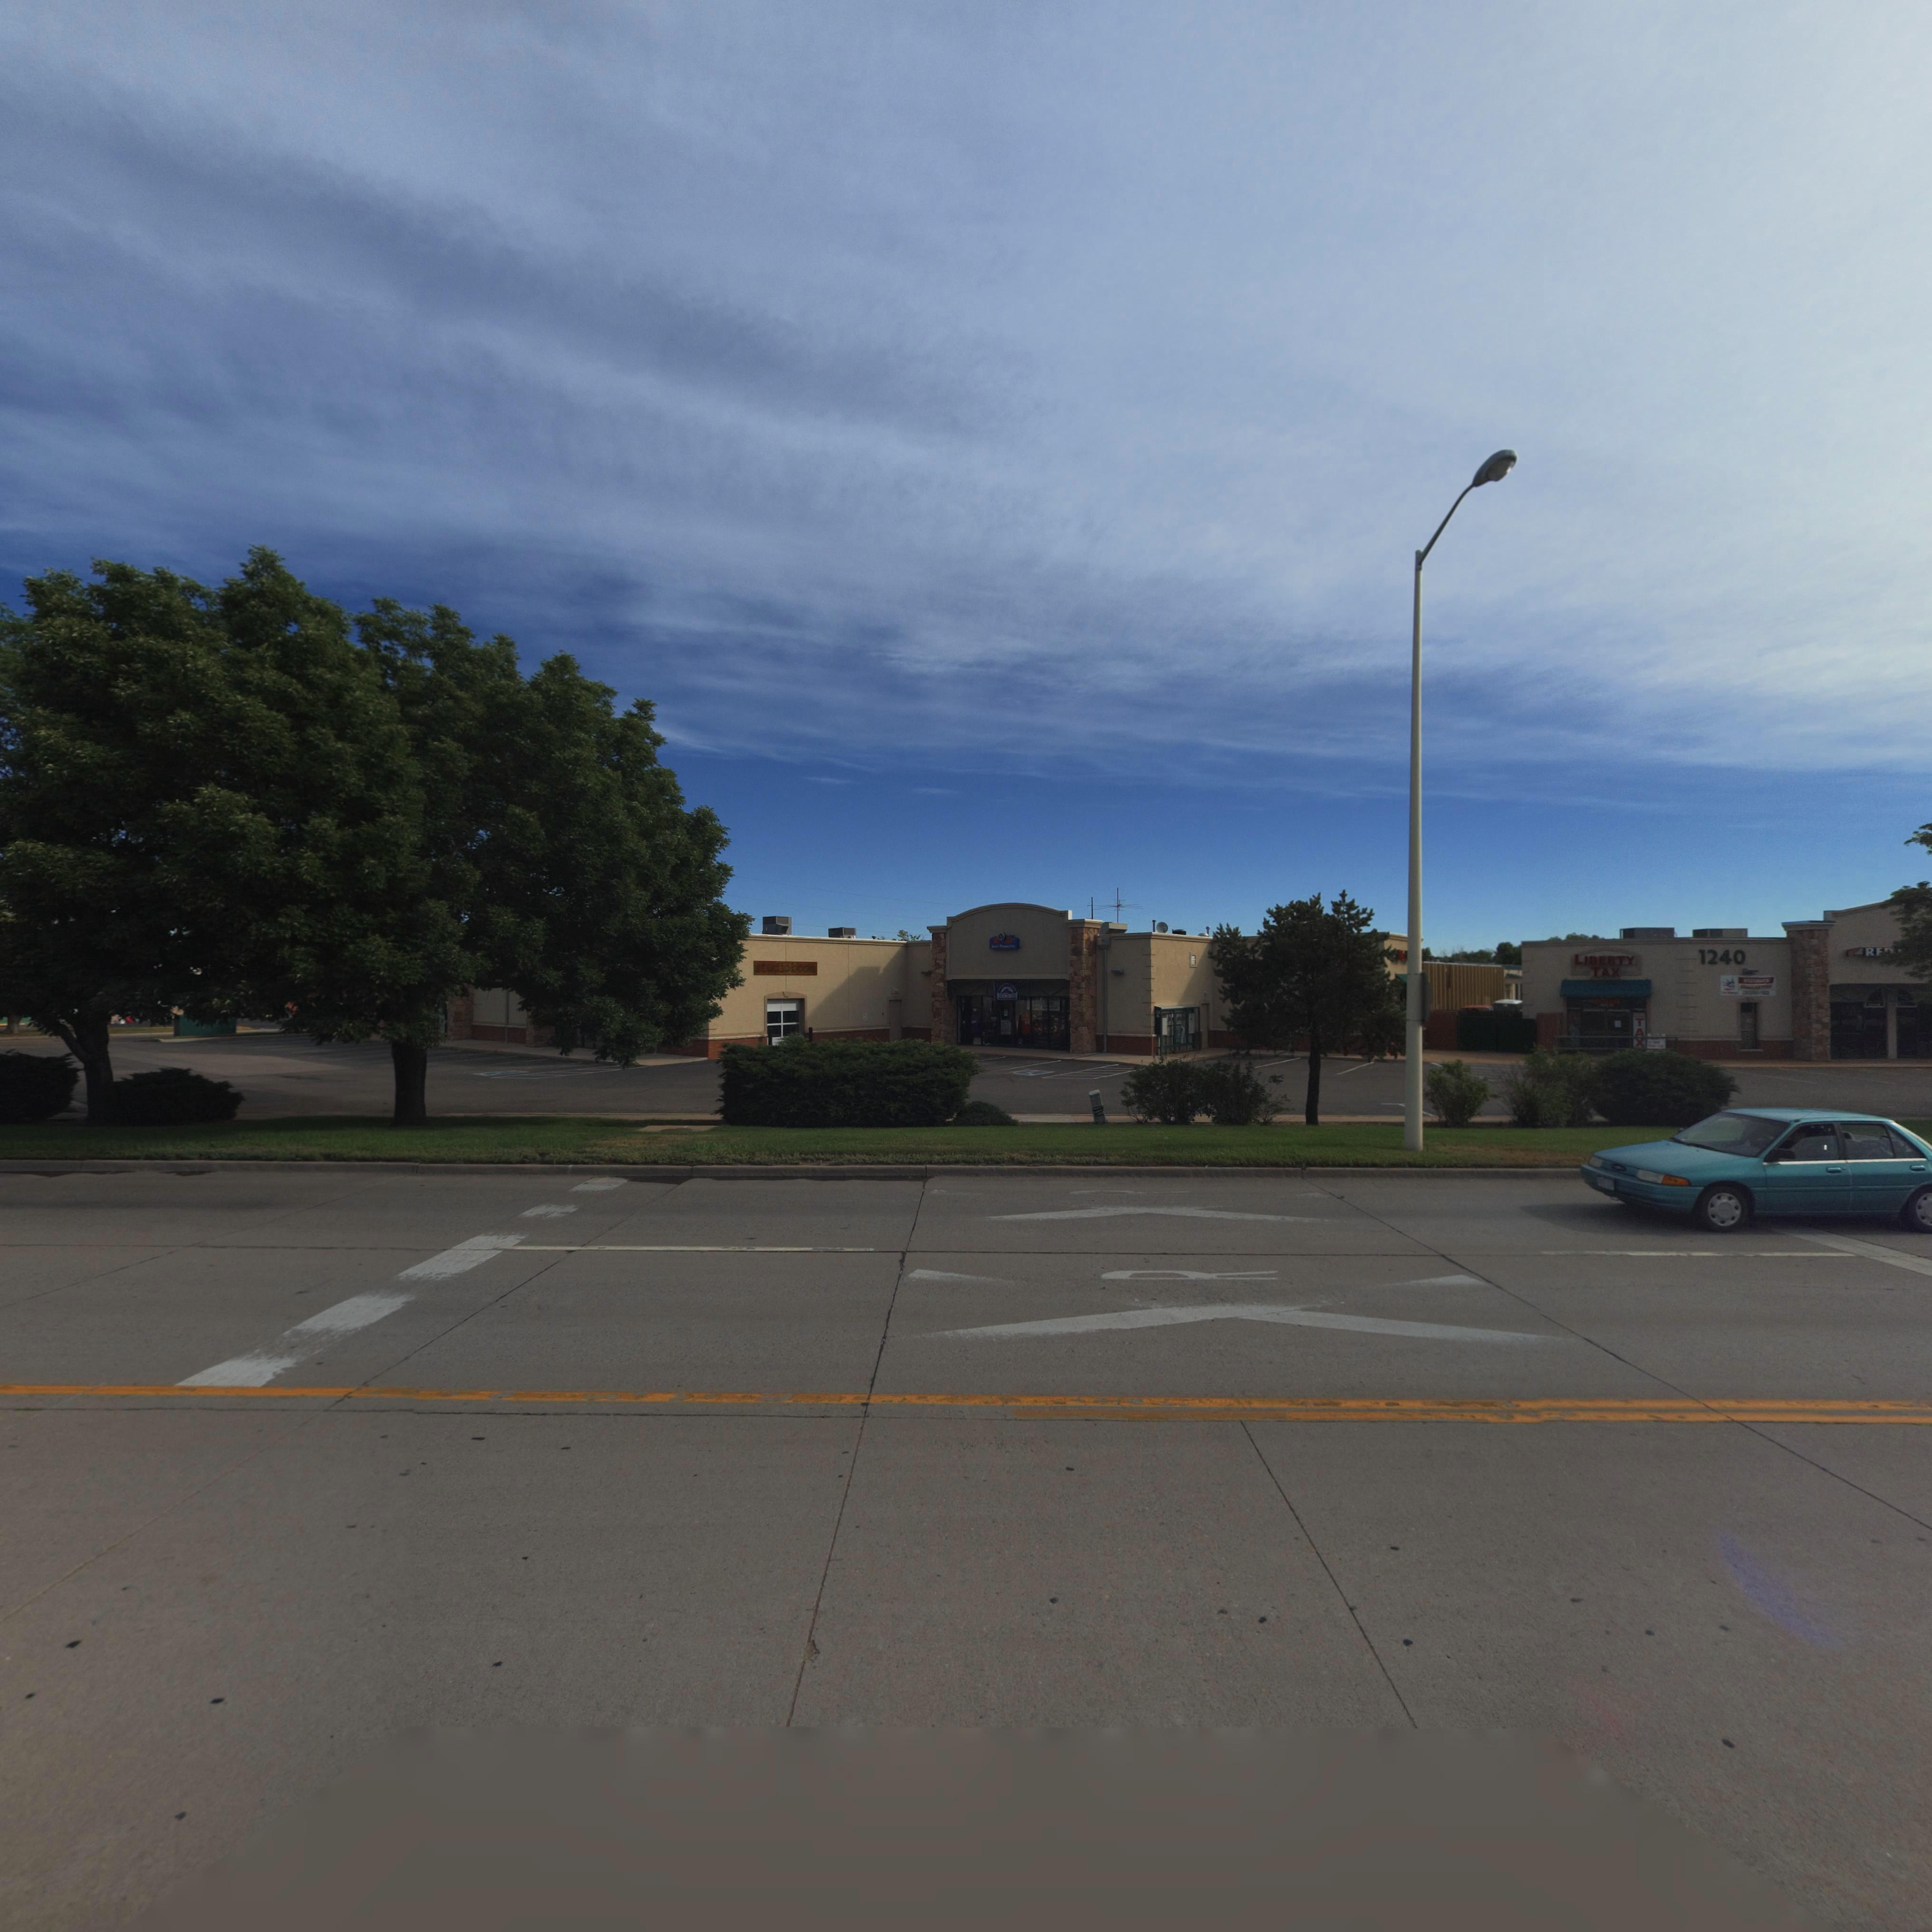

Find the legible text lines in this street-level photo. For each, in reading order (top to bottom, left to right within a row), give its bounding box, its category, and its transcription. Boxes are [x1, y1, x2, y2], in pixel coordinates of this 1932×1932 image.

[1574, 952, 1635, 965] BusinessName: LIBERTY
[1697, 948, 1746, 966] BusinessName: 1240
[1865, 947, 1894, 957] BusinessName: RE*
[754, 961, 816, 973] BusinessName: ***dio boo*
[1589, 966, 1621, 977] BusinessName: TAX